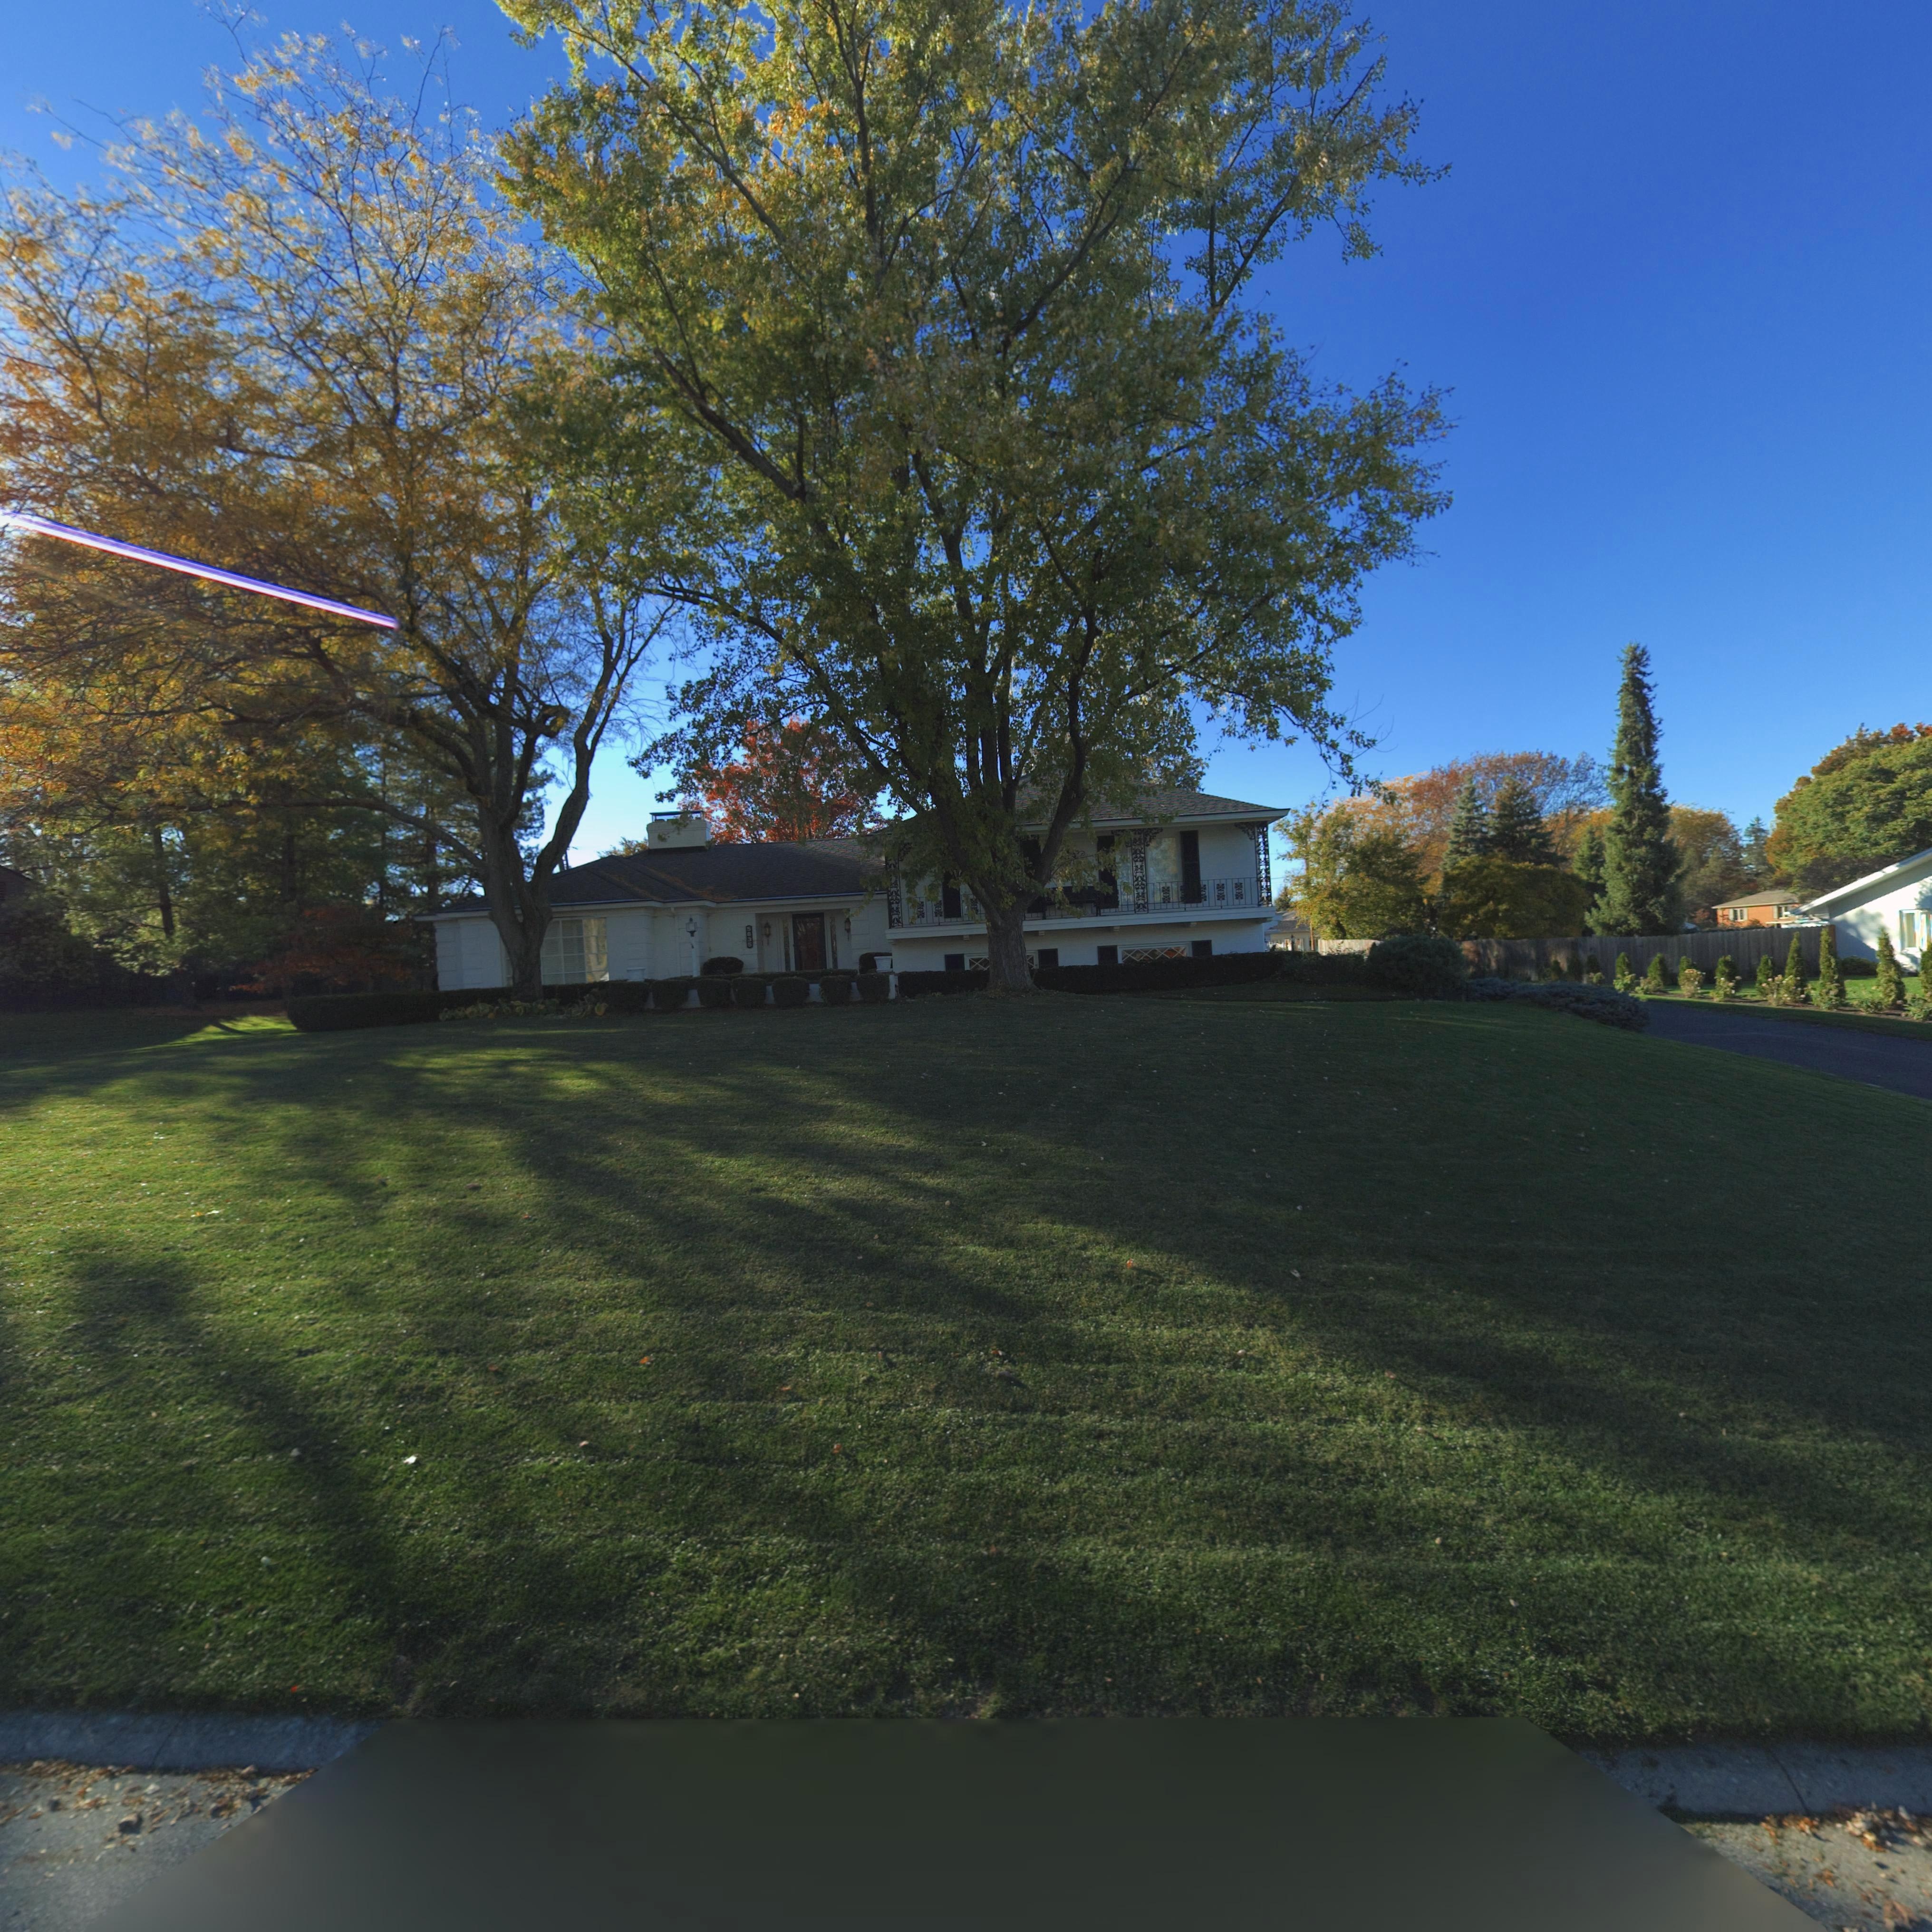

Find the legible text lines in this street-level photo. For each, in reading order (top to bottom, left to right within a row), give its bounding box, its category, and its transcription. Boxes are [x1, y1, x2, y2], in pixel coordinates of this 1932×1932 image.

[746, 926, 752, 947] StreetNumber: 5835